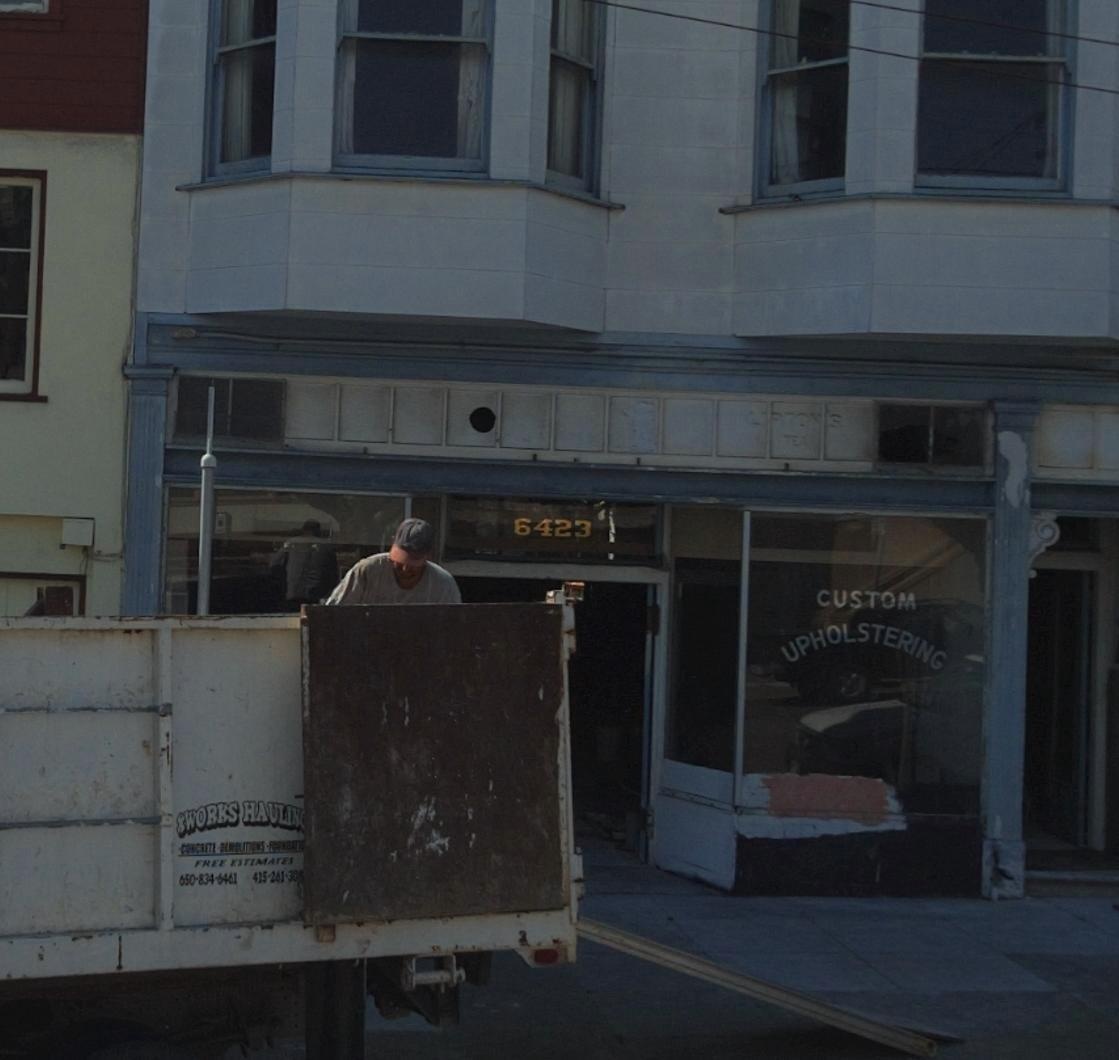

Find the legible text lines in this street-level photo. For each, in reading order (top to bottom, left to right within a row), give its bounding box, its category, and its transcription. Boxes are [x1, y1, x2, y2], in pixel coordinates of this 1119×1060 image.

[515, 515, 593, 540] StreetNumber: 6423
[814, 585, 920, 614] BusinessName: CUSTOM
[777, 621, 952, 672] BusinessName: UPHOLSTERING
[174, 797, 303, 839] BusinessName: 8WORKS HAULIN
[189, 855, 295, 870] None: FREE ESTIMATES
[176, 870, 239, 887] None: 650-834-6461
[248, 867, 306, 885] None: 415-261-30*